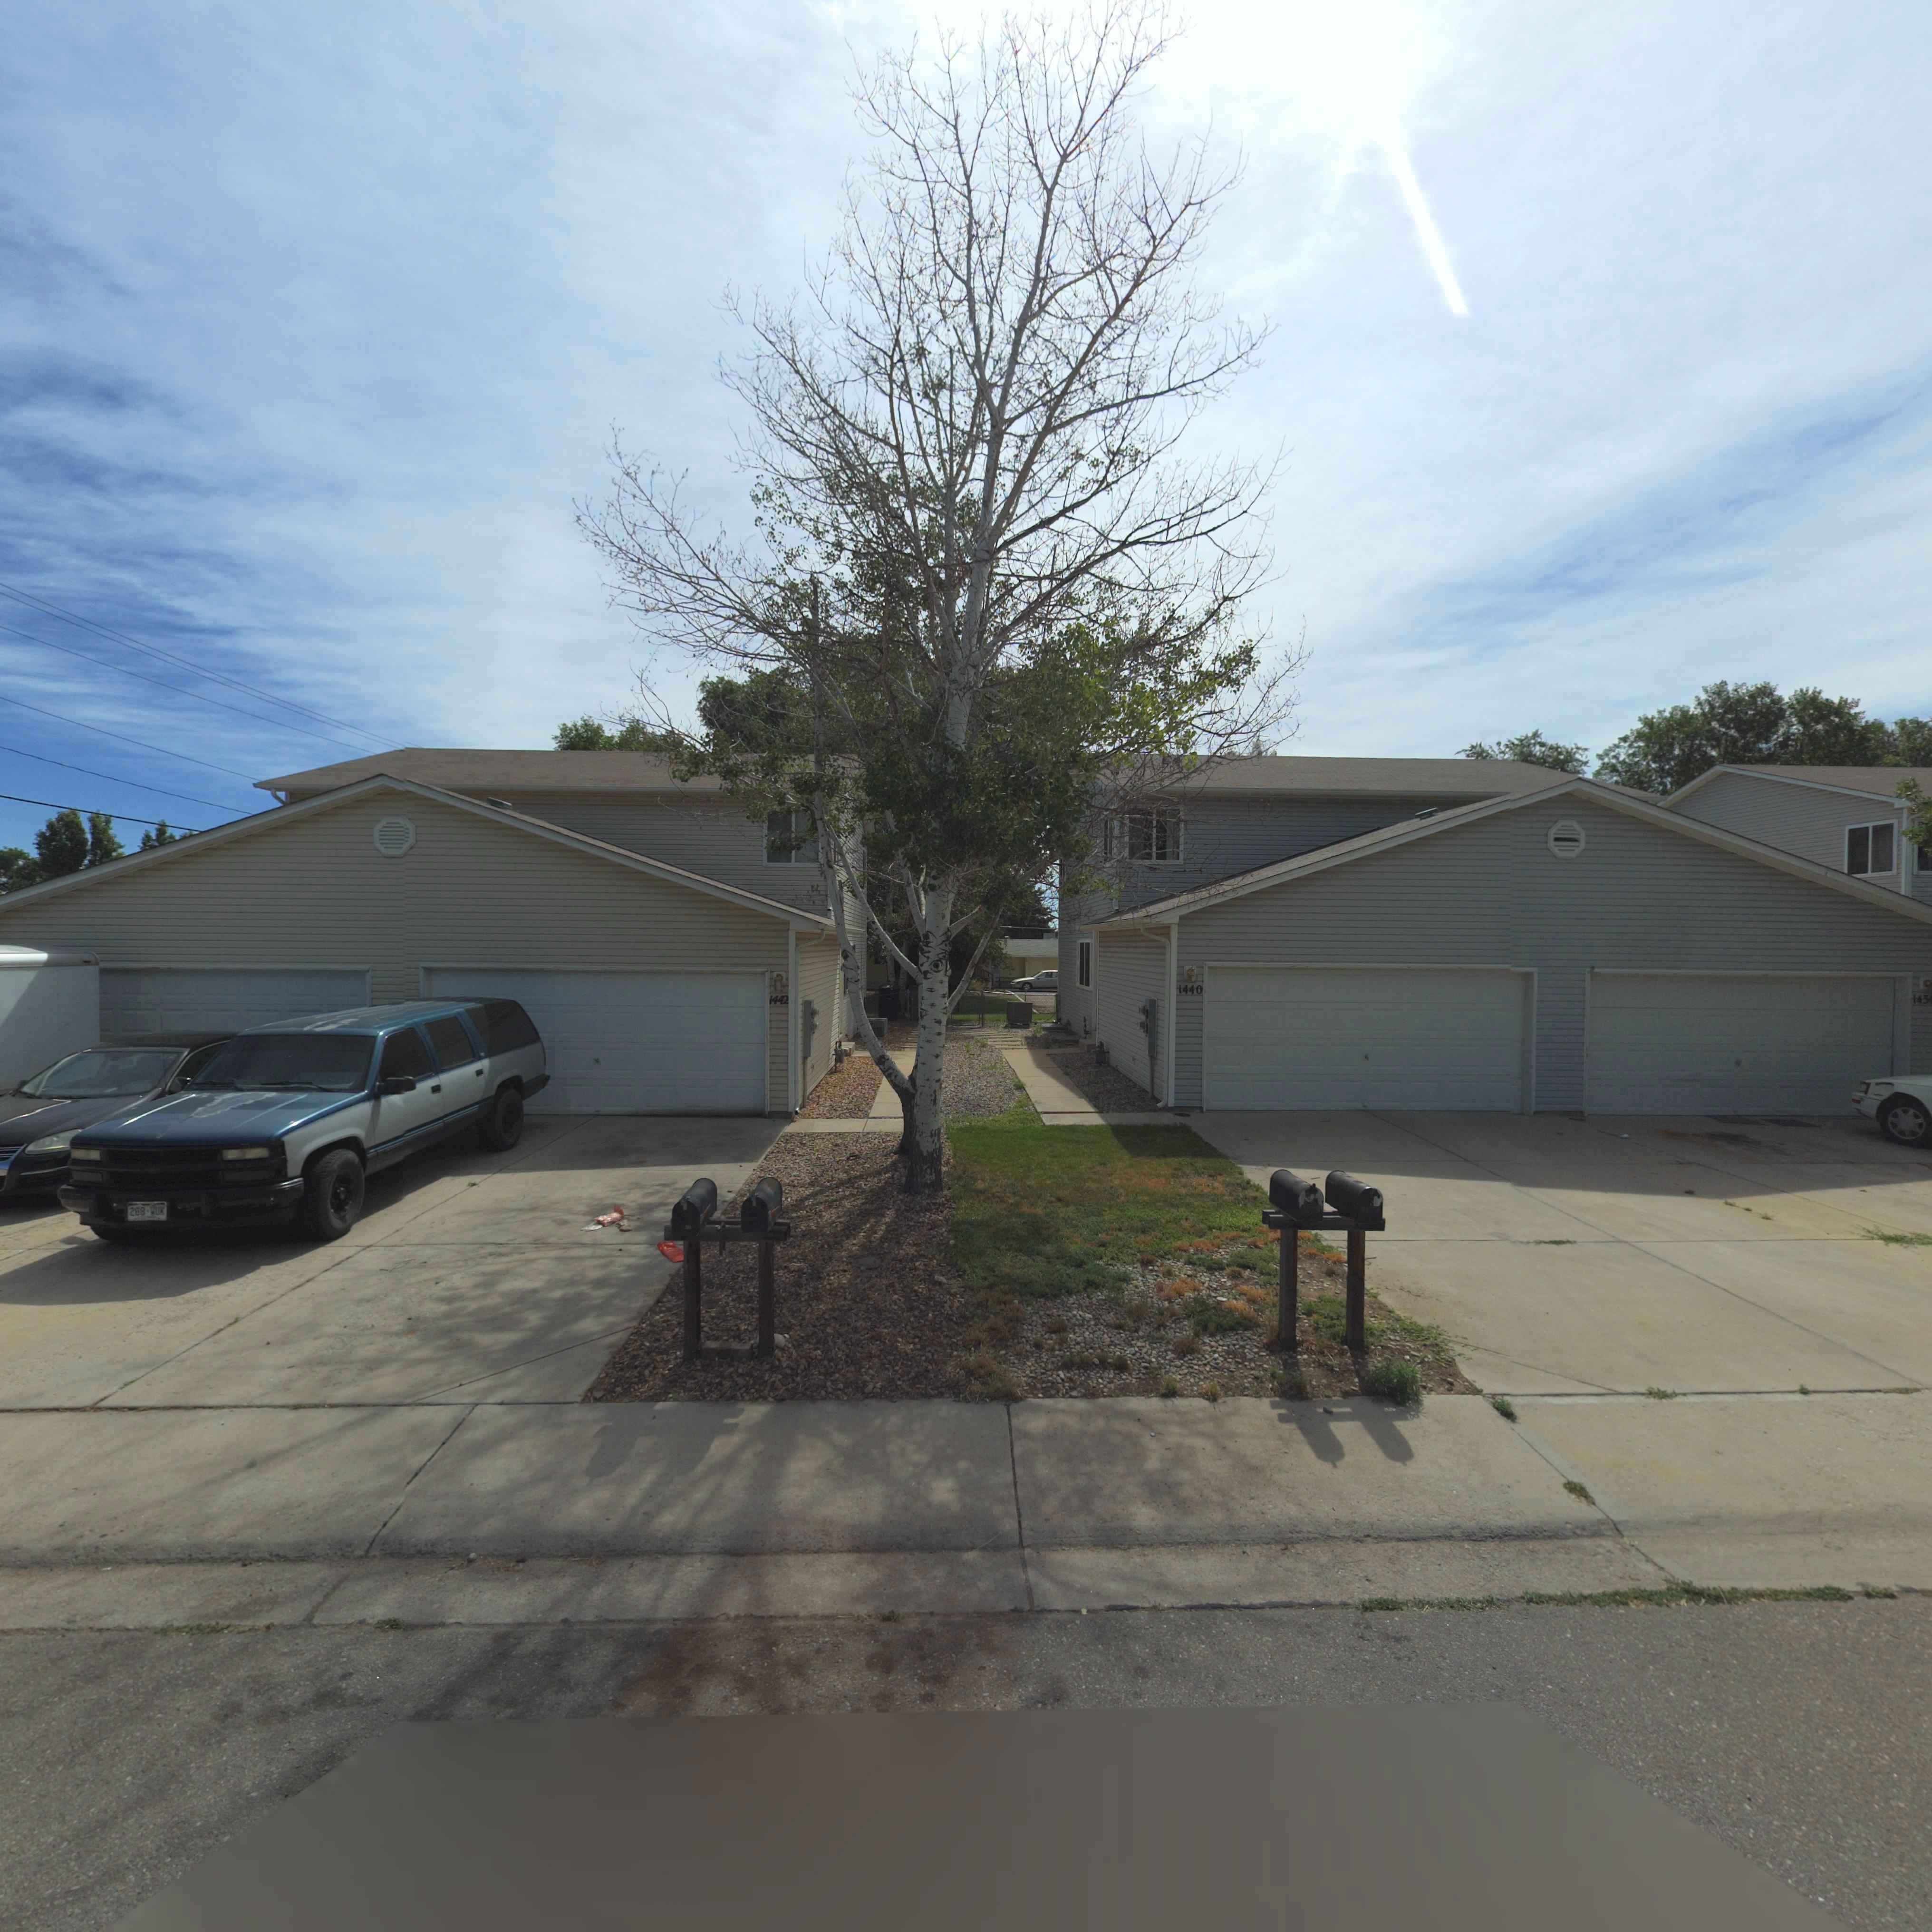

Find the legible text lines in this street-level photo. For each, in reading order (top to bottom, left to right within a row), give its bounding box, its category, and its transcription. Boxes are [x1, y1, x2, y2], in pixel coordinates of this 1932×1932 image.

[1178, 984, 1203, 995] StreetNumber: 1440
[769, 995, 789, 1004] StreetNumber: 1442
[1913, 995, 1929, 1005] StreetNumber: 143